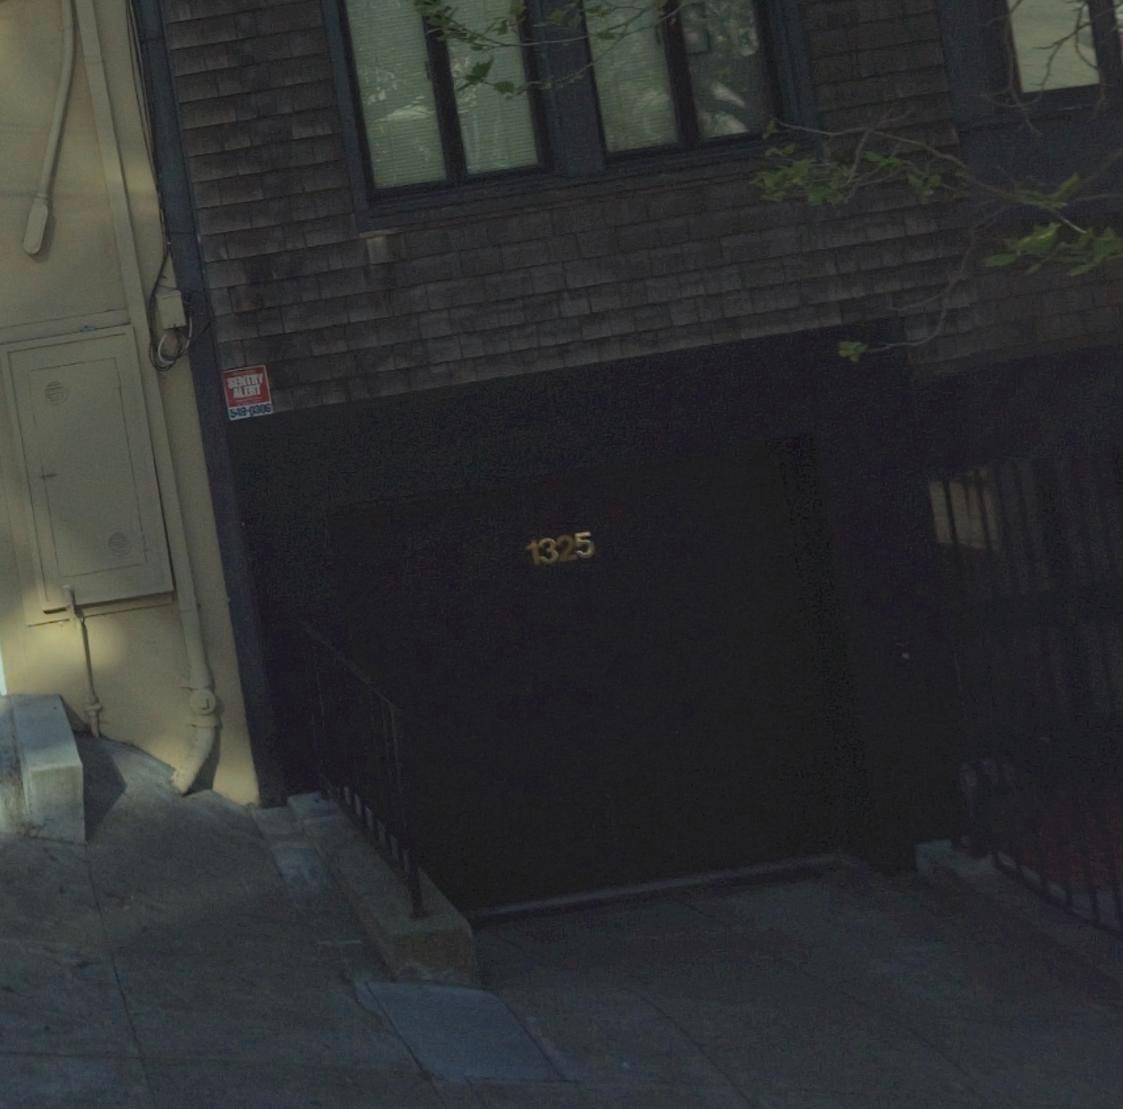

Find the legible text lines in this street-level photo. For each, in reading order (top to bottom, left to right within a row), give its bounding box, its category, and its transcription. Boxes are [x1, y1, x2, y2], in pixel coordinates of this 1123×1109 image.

[225, 371, 264, 390] None: SENTRY
[232, 384, 263, 400] None: ALERT
[228, 401, 271, 420] None: 549-0306
[523, 529, 597, 570] StreetNumber: 1325